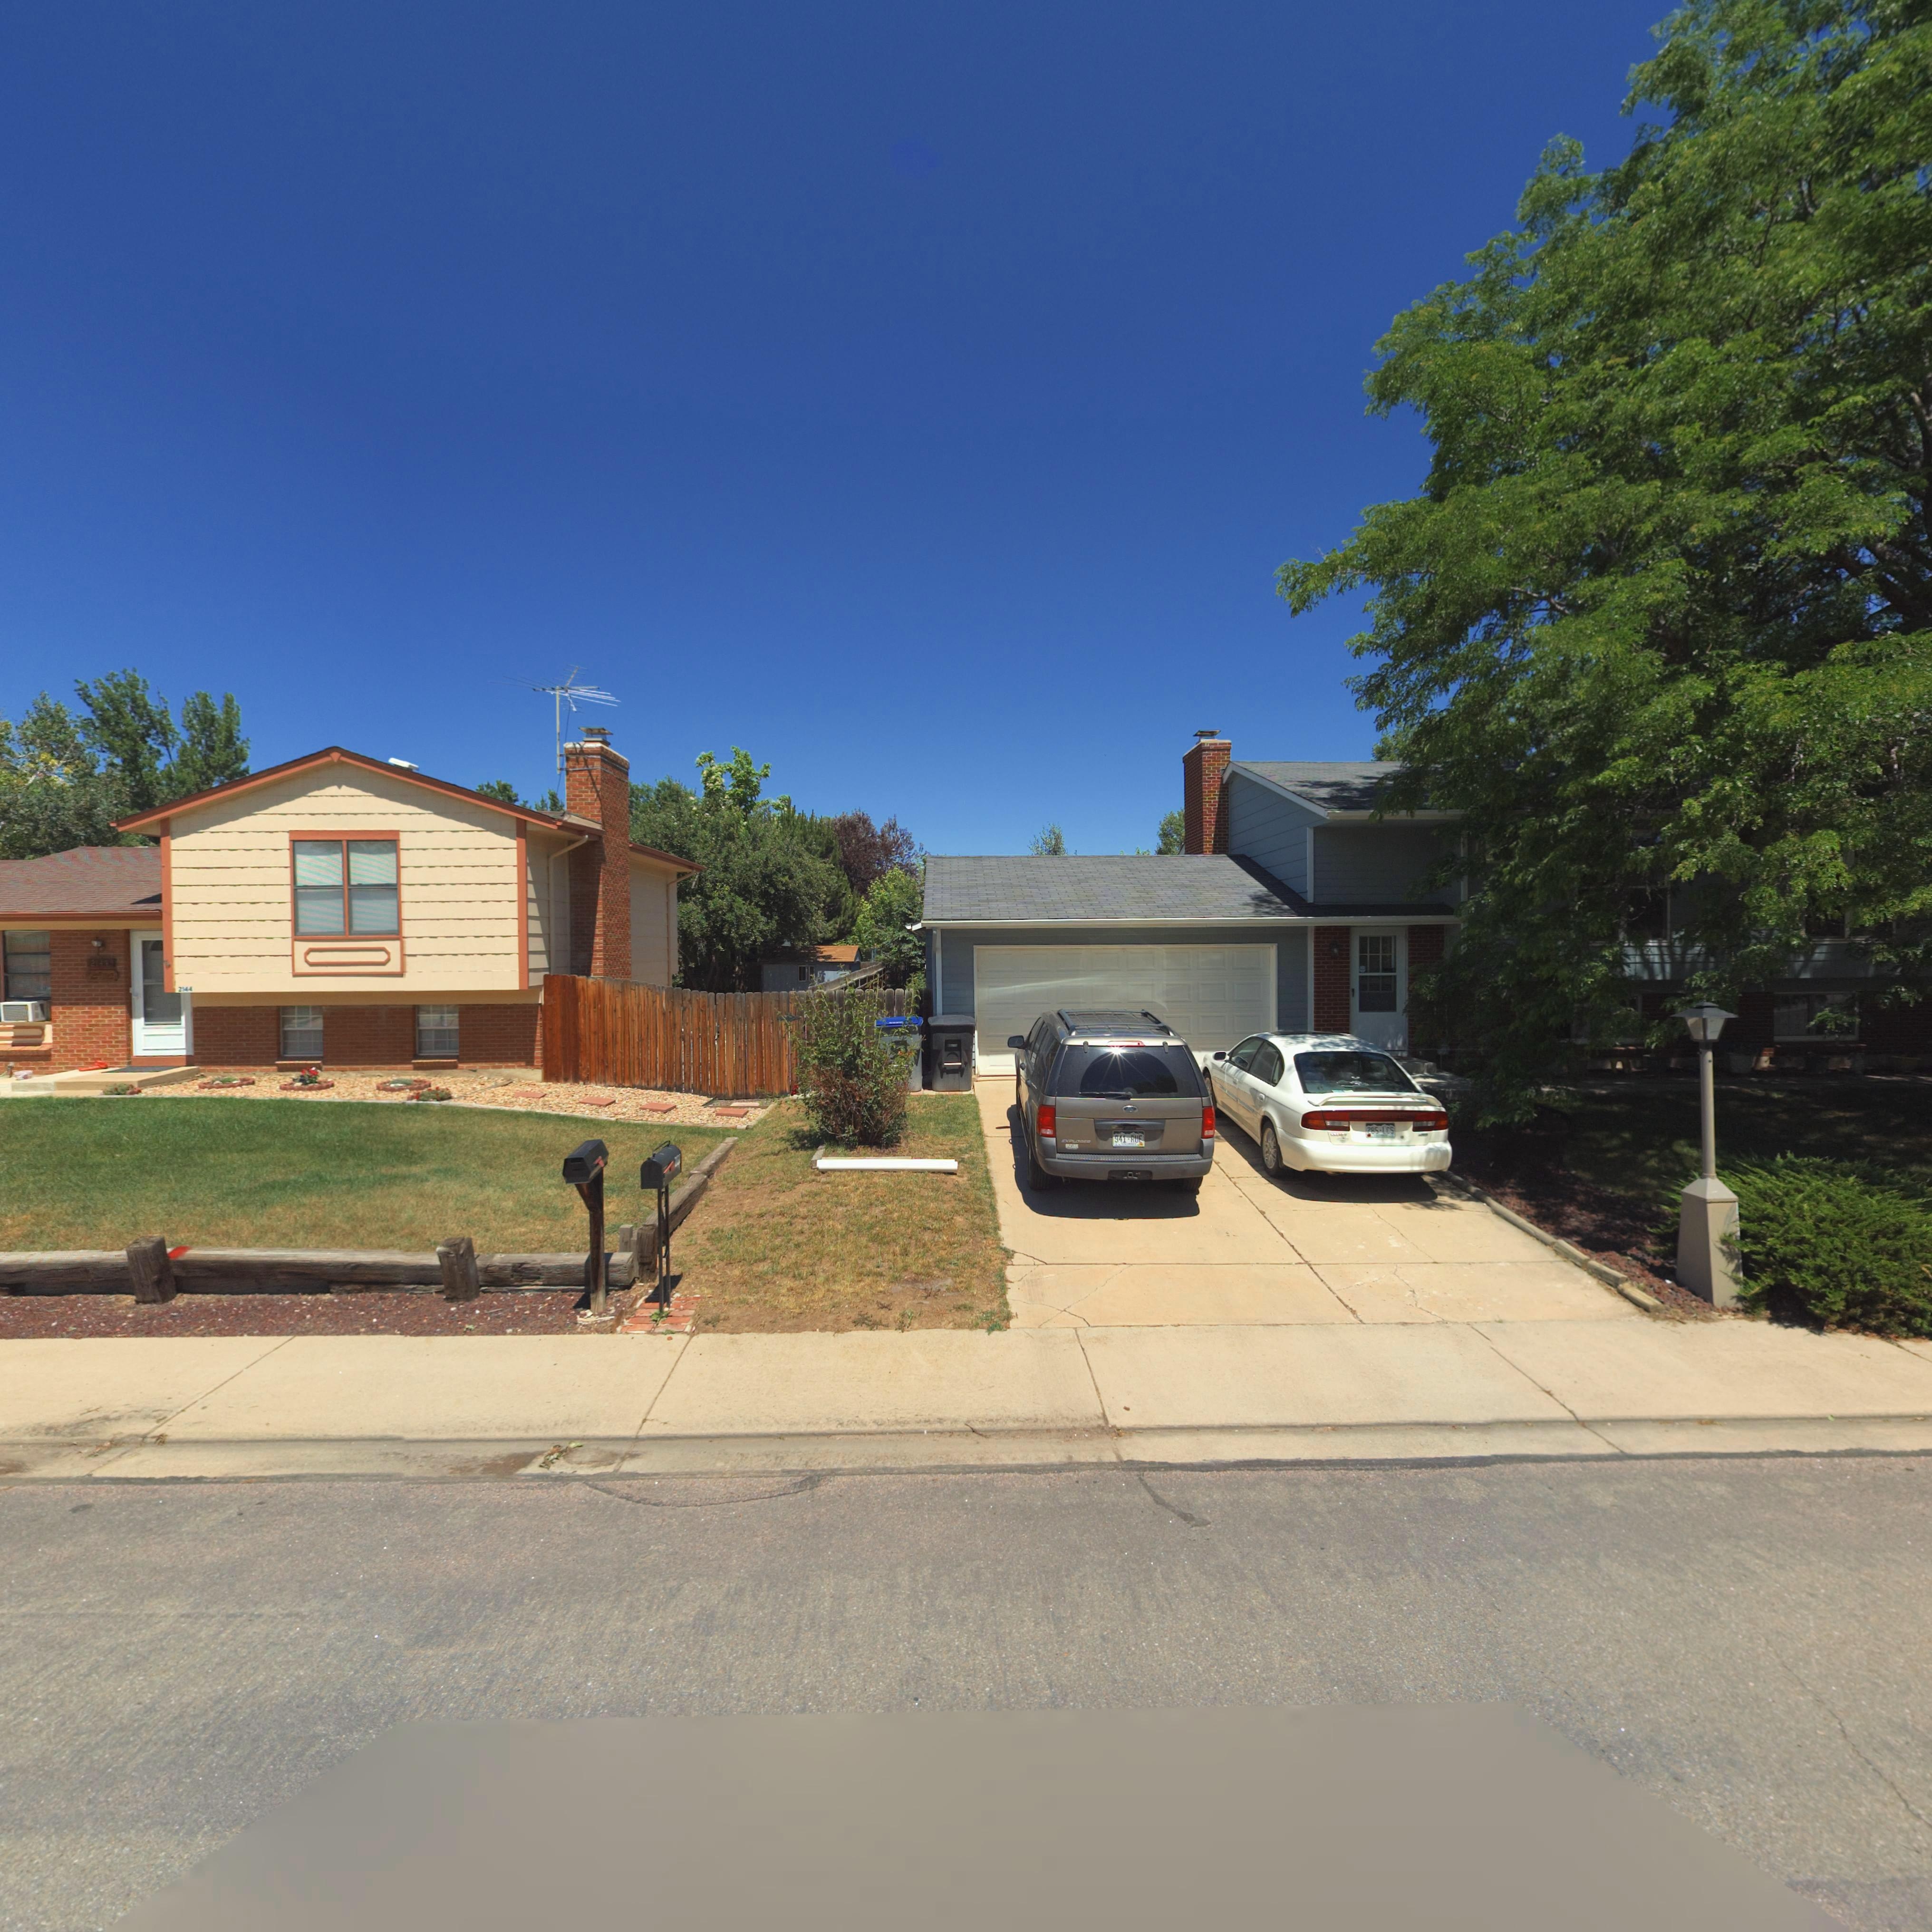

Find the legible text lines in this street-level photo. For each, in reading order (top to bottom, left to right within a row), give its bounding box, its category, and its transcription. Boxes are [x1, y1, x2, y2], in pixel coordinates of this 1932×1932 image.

[90, 958, 109, 967] StreetNumber: 21**
[178, 986, 193, 992] StreetNumber: 2144